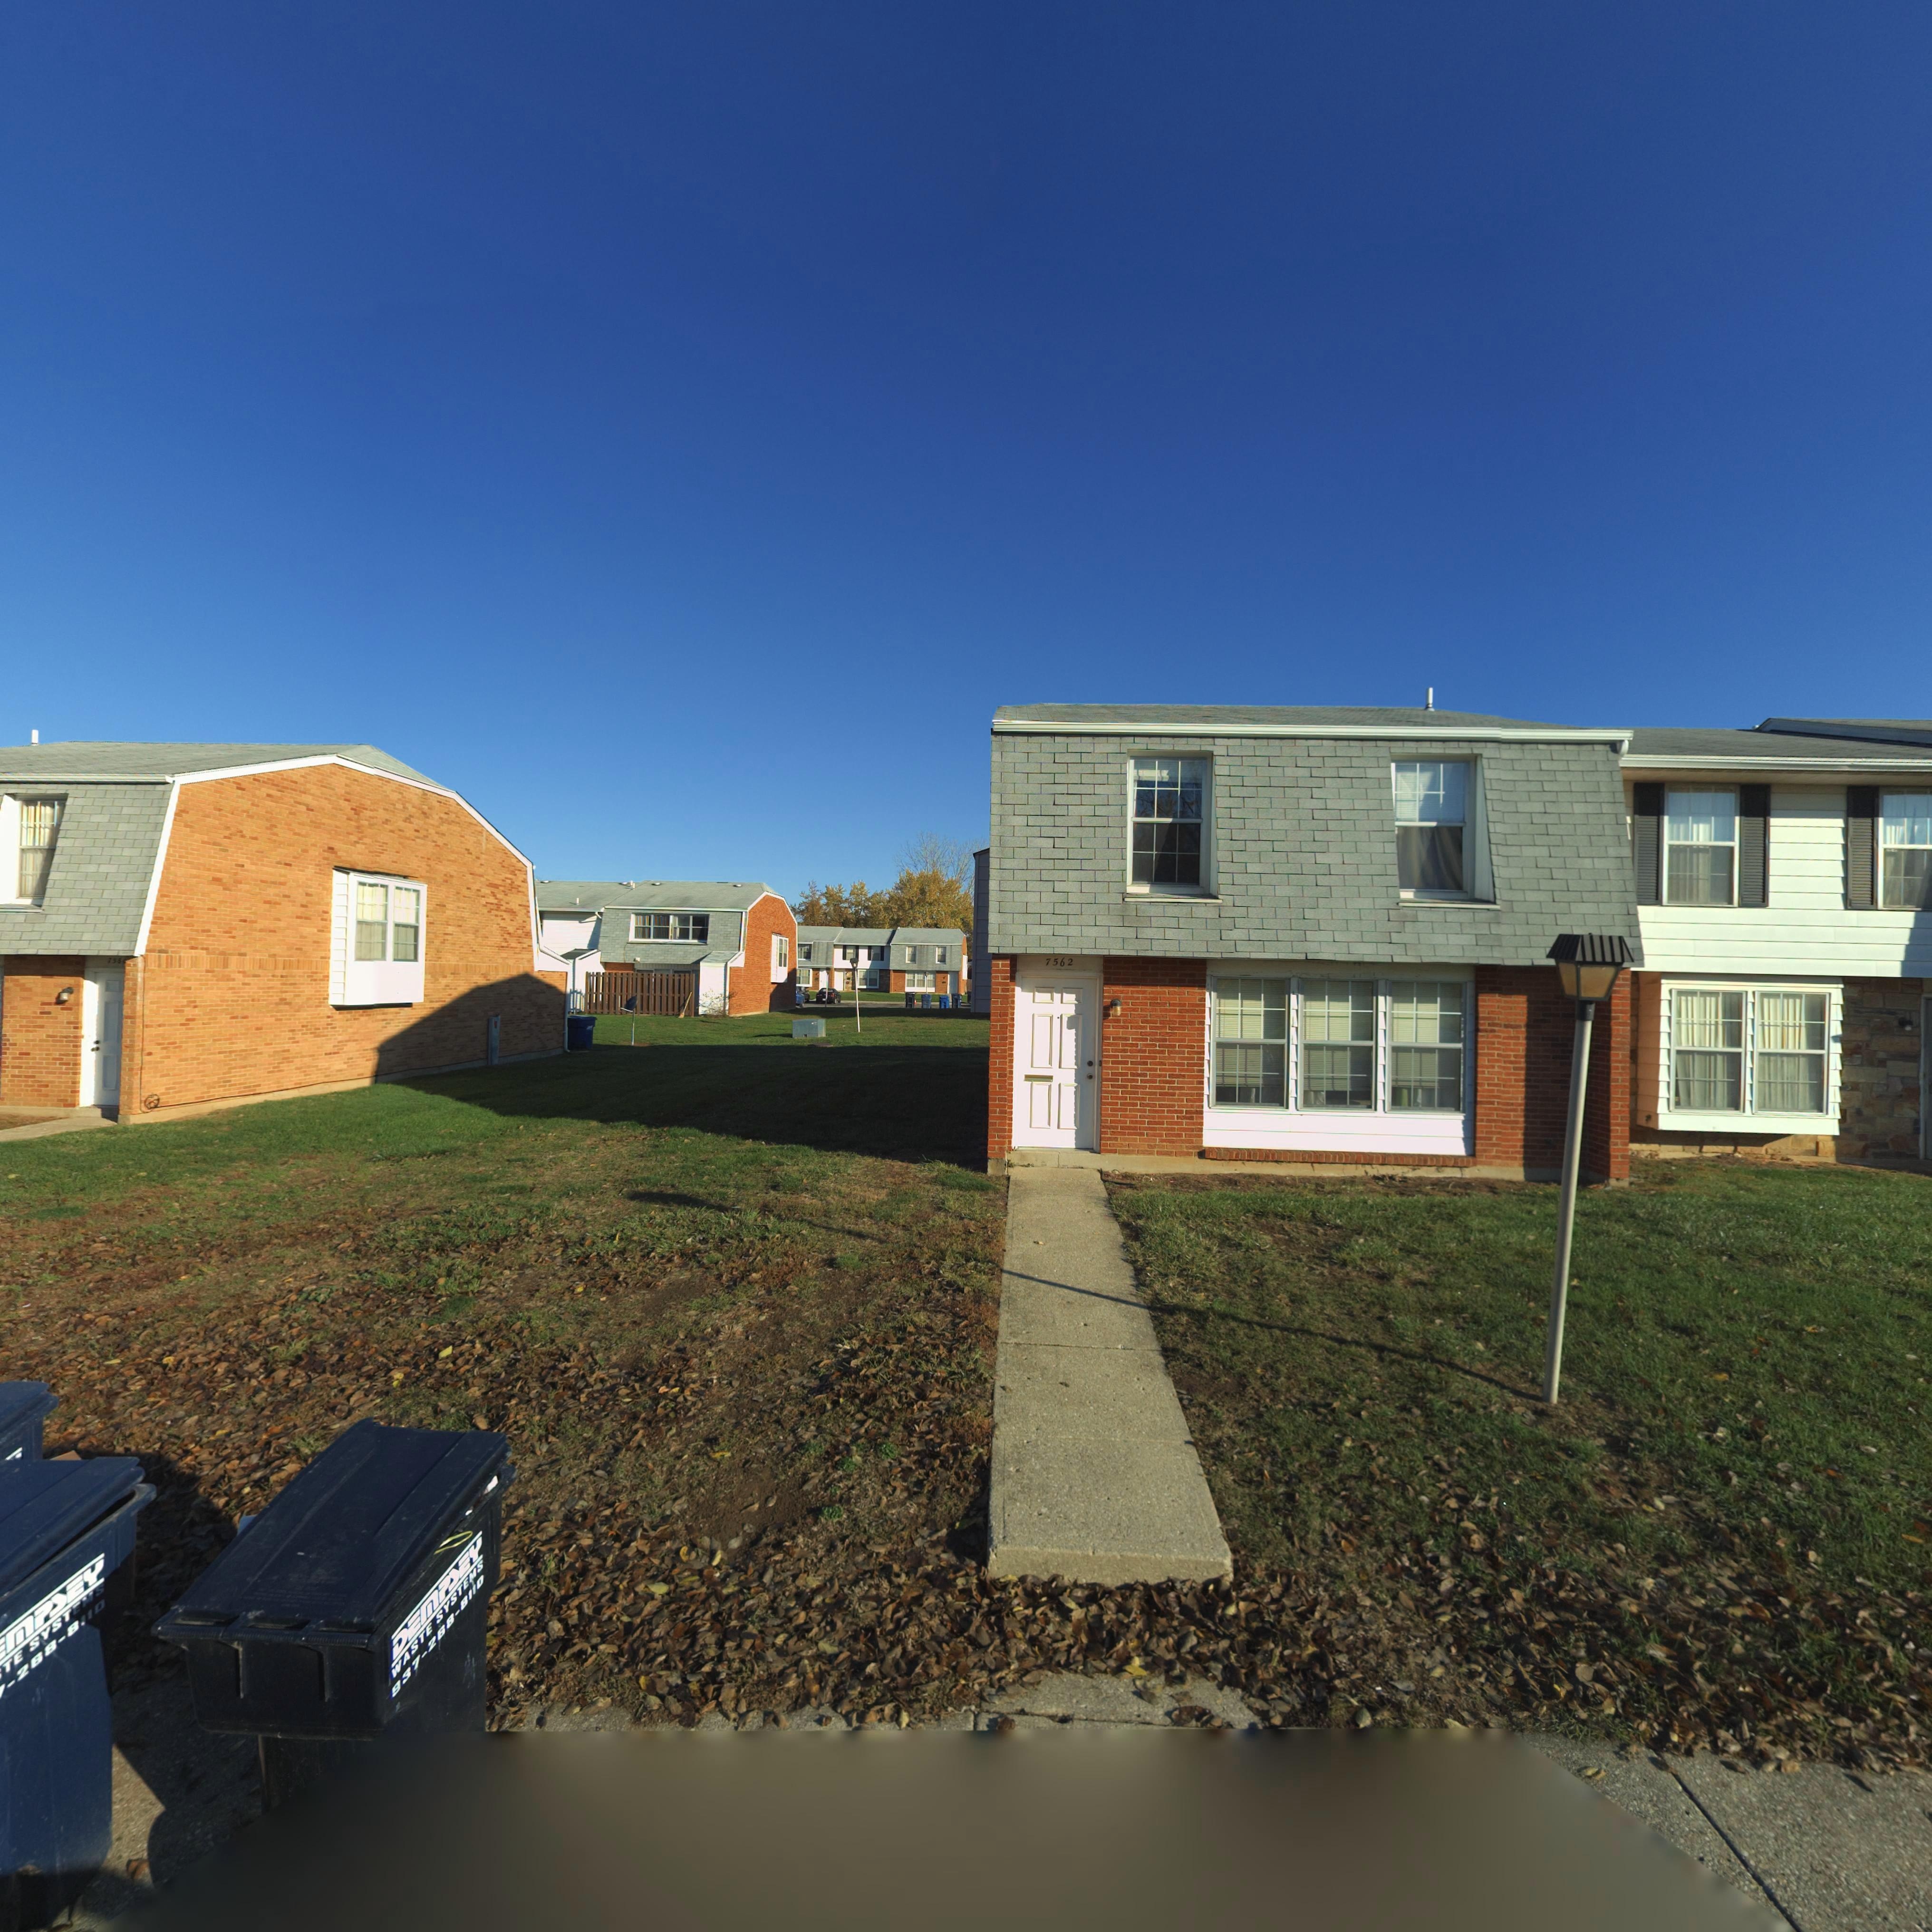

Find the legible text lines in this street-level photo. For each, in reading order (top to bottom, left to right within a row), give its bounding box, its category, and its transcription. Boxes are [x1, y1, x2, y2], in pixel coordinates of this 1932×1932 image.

[107, 956, 123, 965] StreetNumber: 73*
[1044, 956, 1075, 968] StreetNumber: 7562
[49, 1554, 104, 1623] None: DEY
[49, 1579, 106, 1634] None: STEMS
[54, 1594, 107, 1651] None: -8110
[392, 1532, 483, 1664] BusinessName: DEMPSEY
[390, 1556, 485, 1681] None: WASTE SYSTEMS
[391, 1573, 486, 1703] None: 937-268-8110